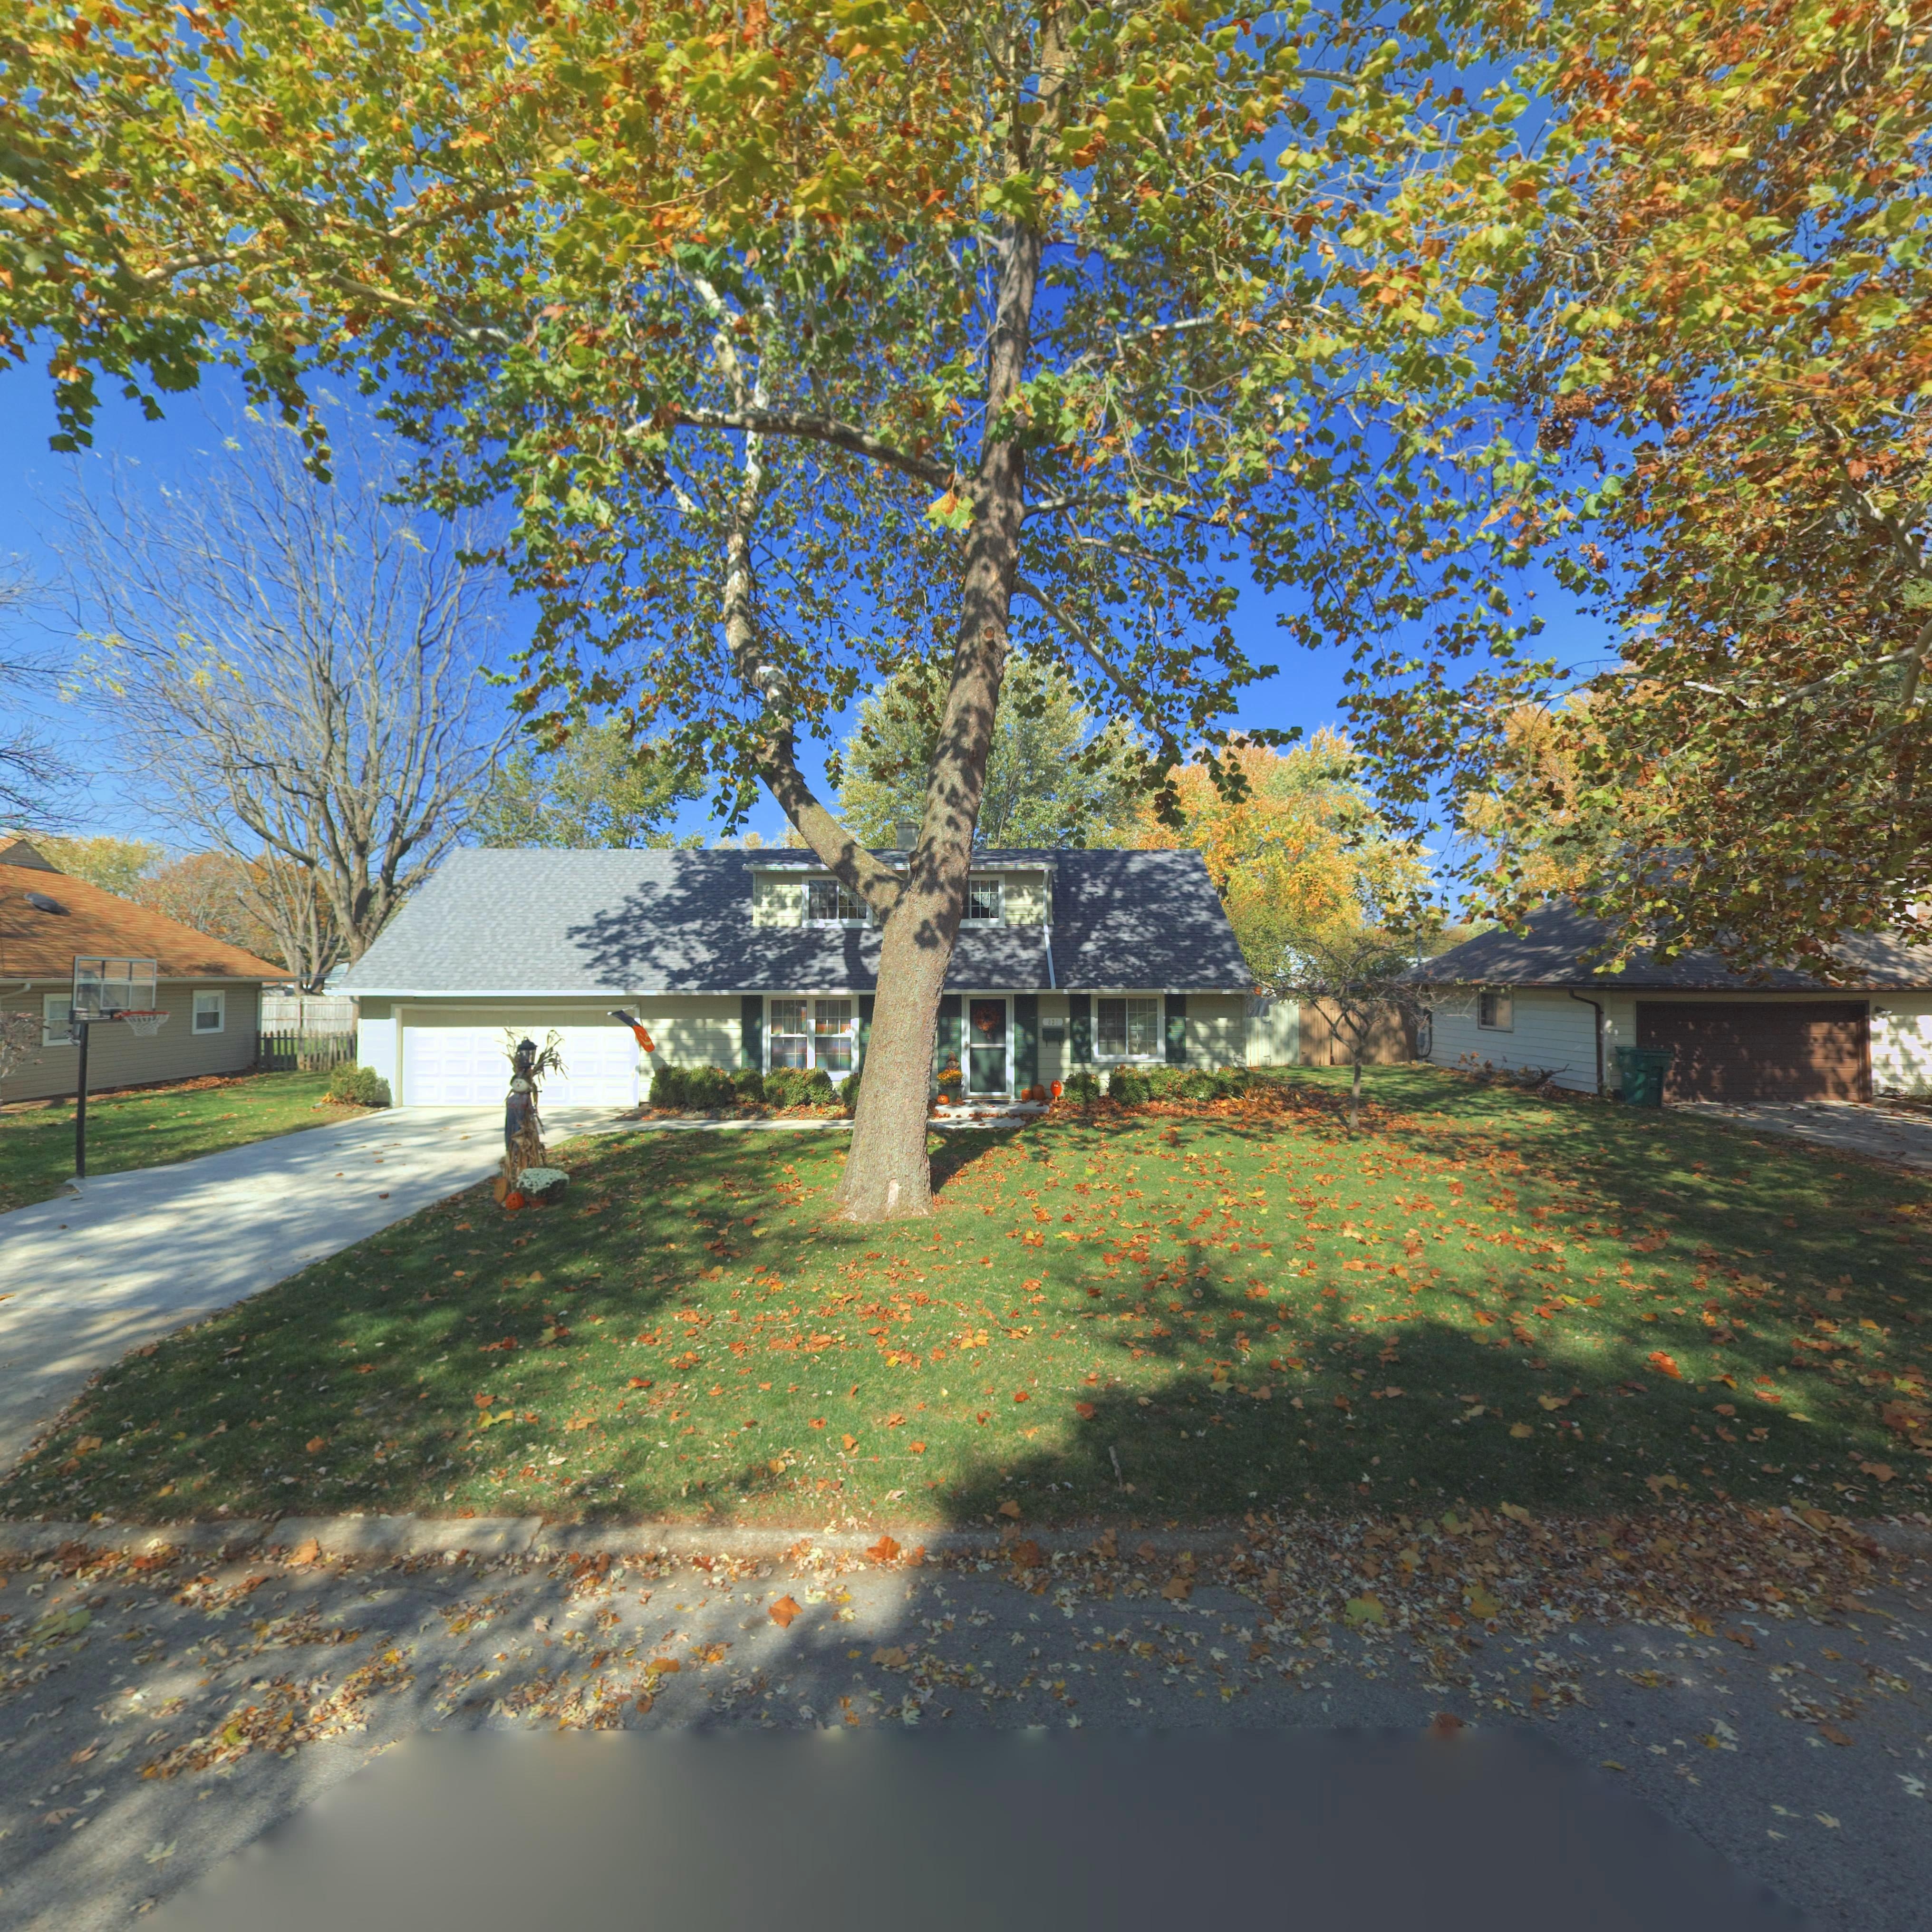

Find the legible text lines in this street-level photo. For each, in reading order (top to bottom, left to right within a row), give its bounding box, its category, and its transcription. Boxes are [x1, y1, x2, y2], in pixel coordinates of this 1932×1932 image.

[1047, 1018, 1059, 1025] StreetNumber: 821